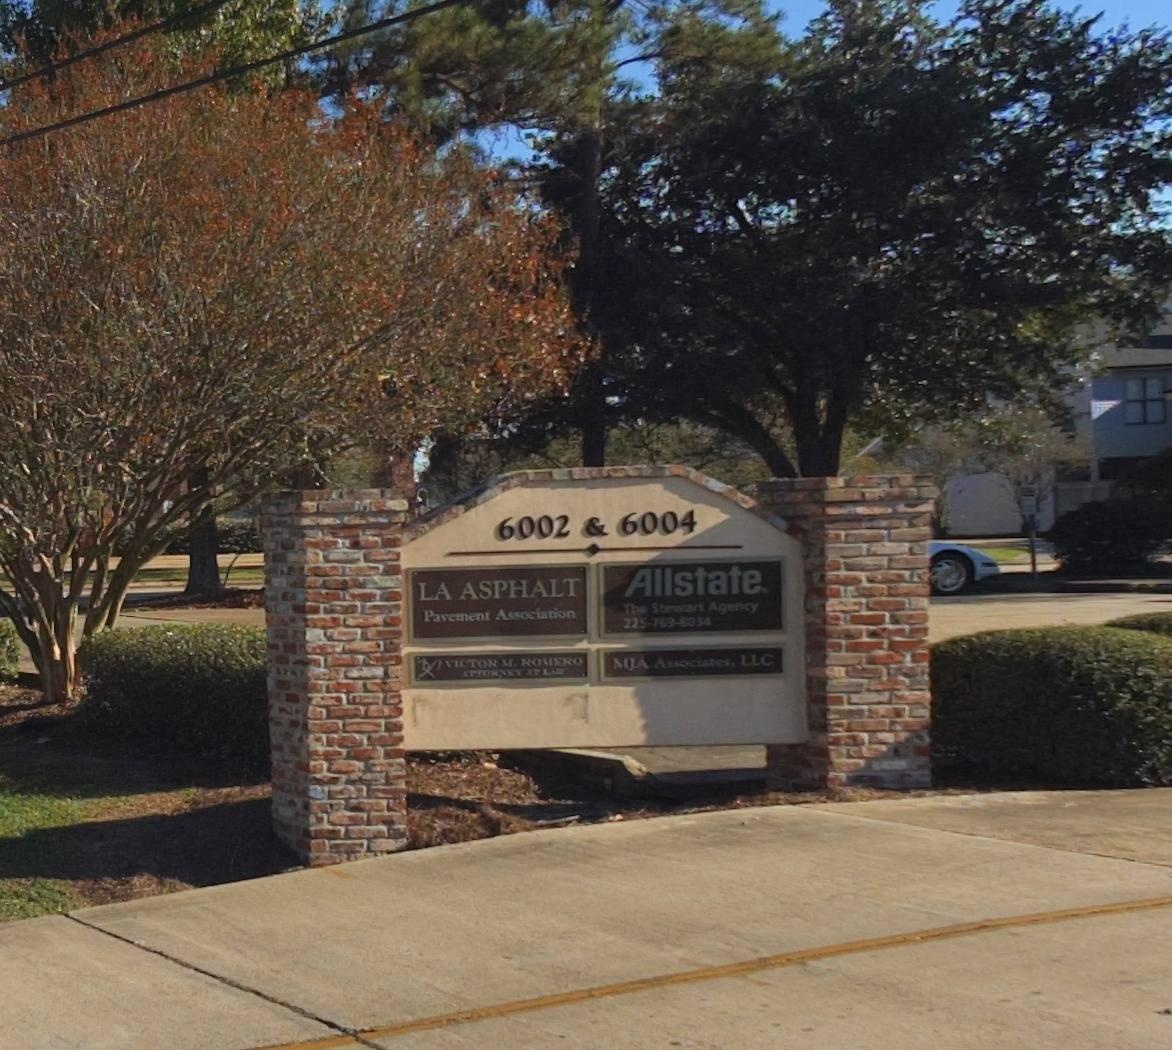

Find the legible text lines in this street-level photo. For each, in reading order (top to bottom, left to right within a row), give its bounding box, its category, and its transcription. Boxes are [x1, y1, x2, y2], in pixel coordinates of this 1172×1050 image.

[497, 510, 572, 542] StreetNumber: 6002
[619, 506, 699, 538] StreetNumber: 6004
[415, 575, 584, 604] BusinessName: LA ASPHALT
[620, 563, 766, 600] BusinessName: Allstate
[421, 604, 580, 626] BusinessName: Pavement Association
[620, 614, 716, 632] None: 225-969-8034
[621, 599, 761, 617] BusinessName: The St***art Agency
[439, 654, 587, 672] BusinessName: VICTOR M. ROMERO
[610, 649, 776, 673] BusinessName: MJA Ass**iates, LLC